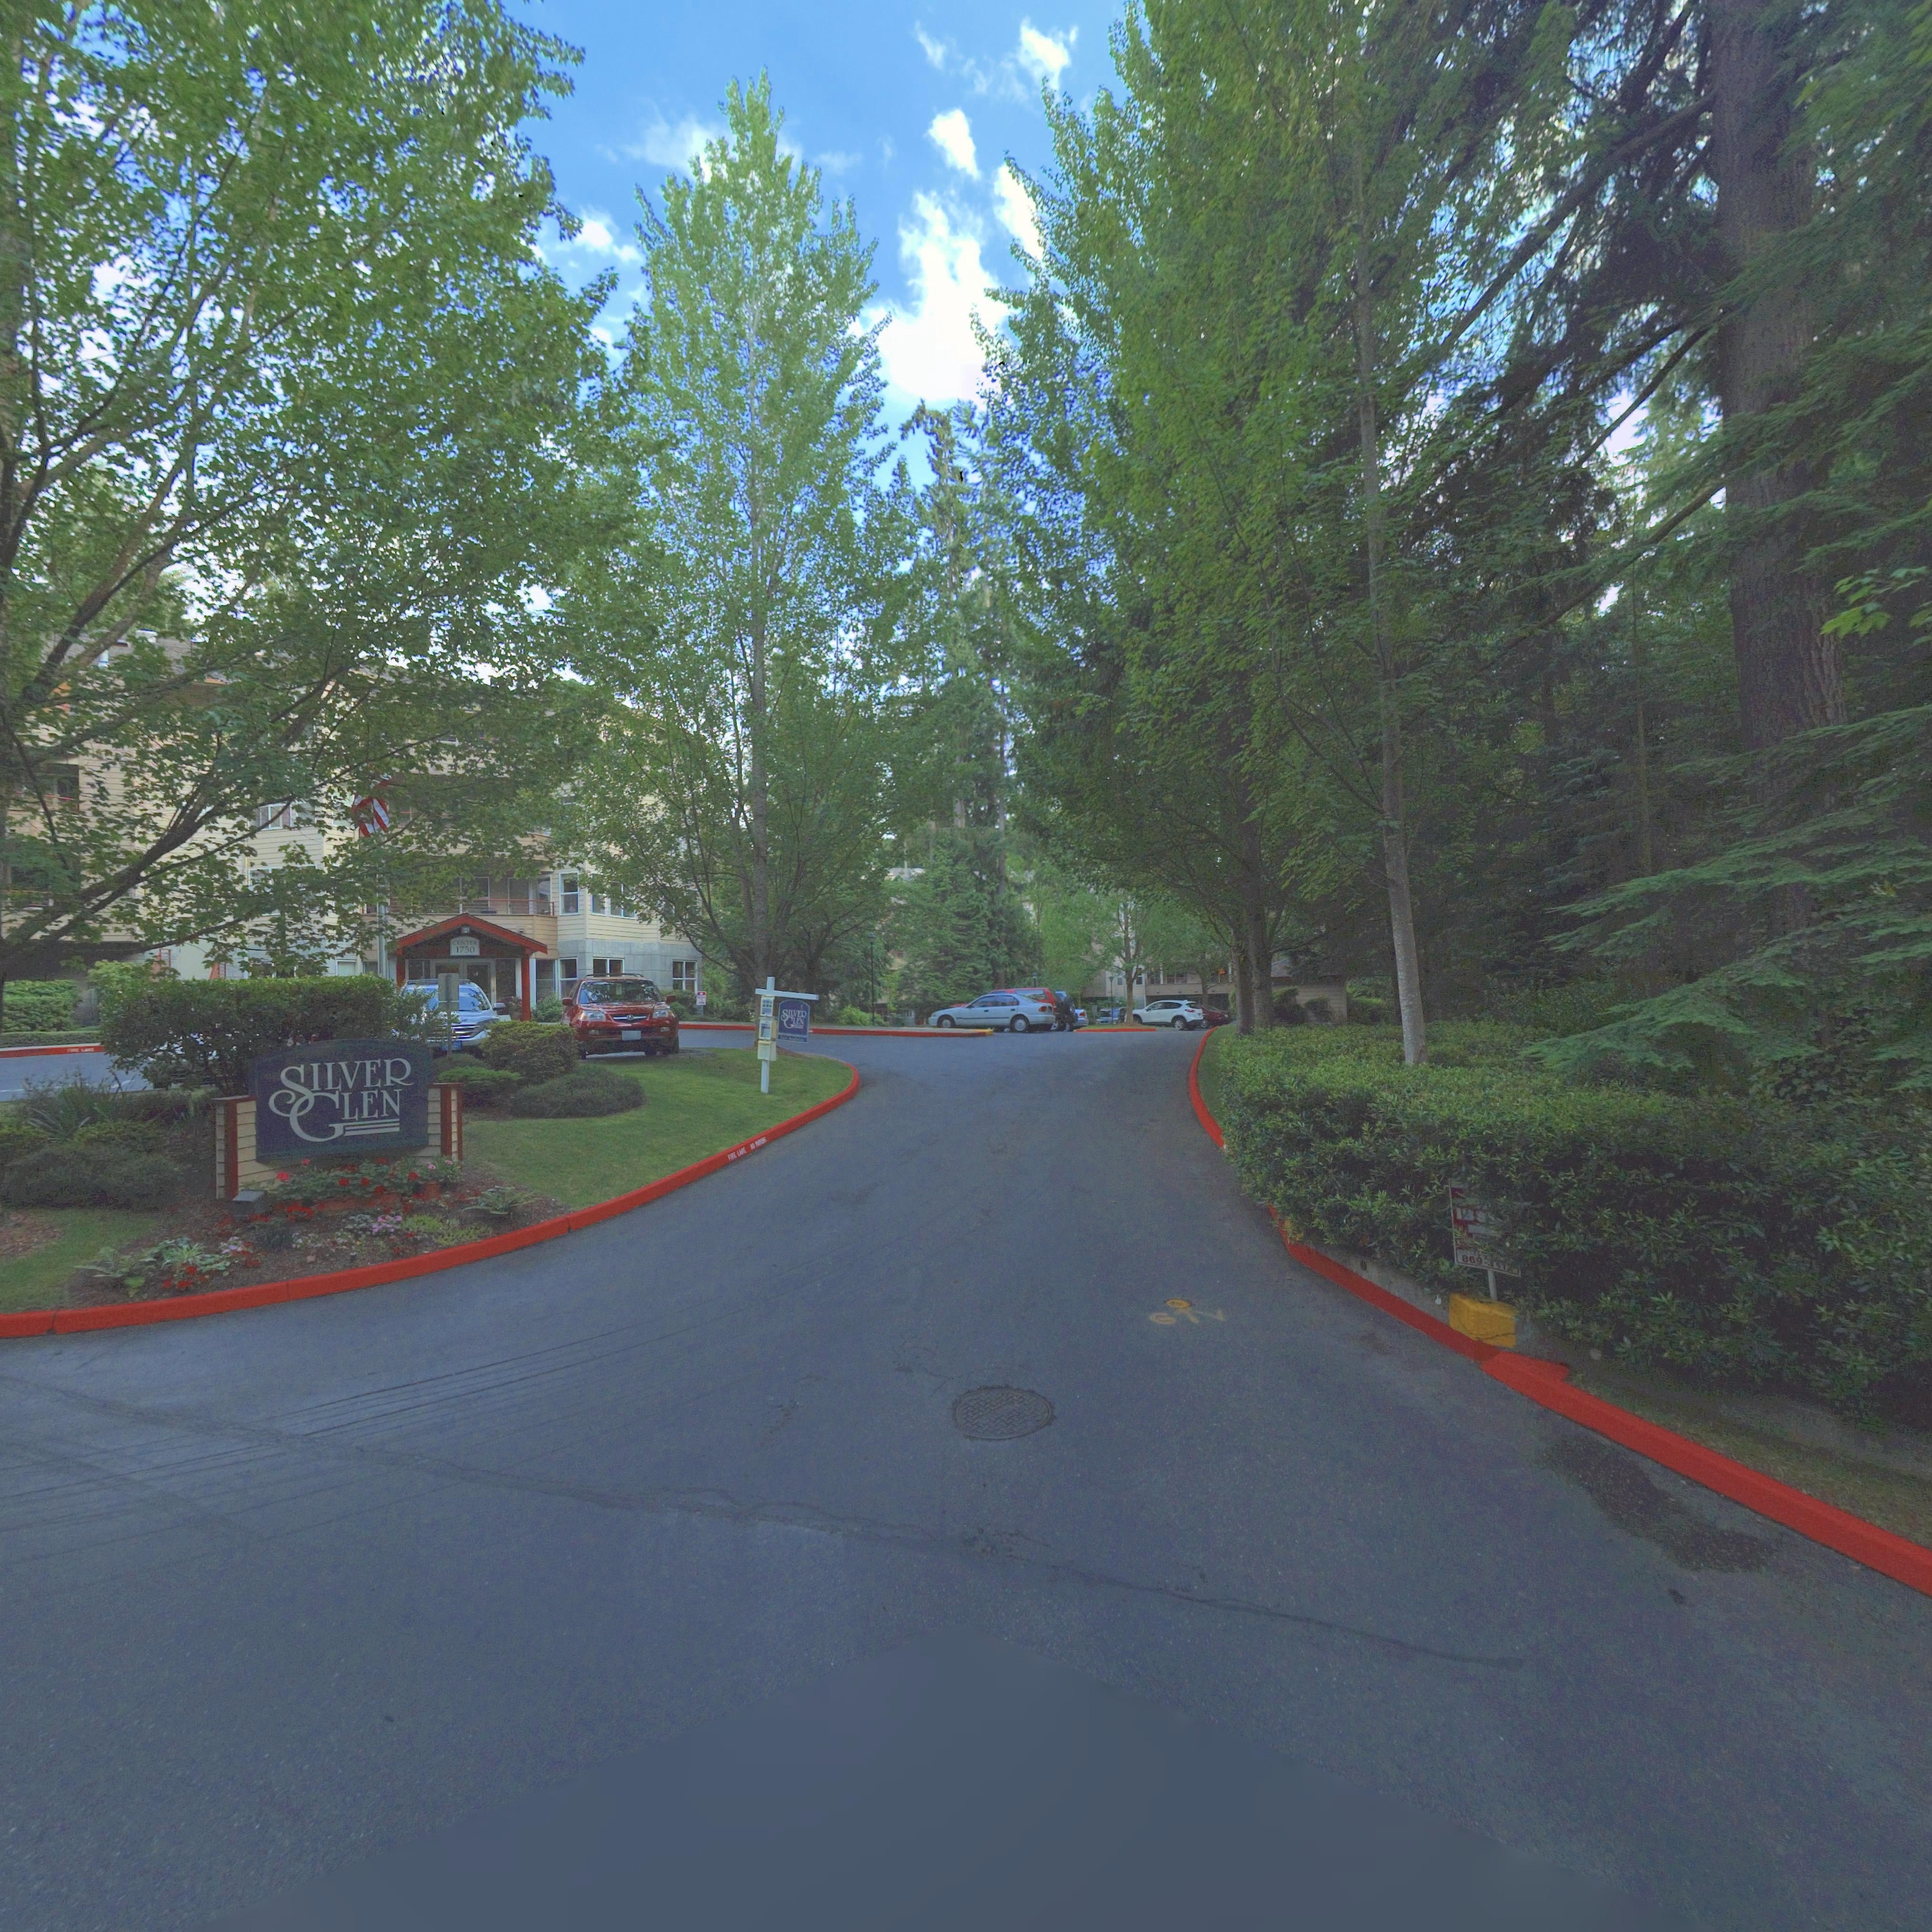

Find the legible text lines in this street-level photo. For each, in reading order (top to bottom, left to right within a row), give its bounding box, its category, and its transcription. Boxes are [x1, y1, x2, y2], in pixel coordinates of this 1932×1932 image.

[452, 939, 477, 946] SecondaryUnitDesignator: CENTER
[455, 945, 474, 953] StreetNumber: 1750
[779, 1008, 807, 1023] BusinessName: SILVER
[783, 1015, 804, 1029] BusinessName: GLEN
[263, 1056, 417, 1126] BusinessName: SILVER
[282, 1085, 403, 1143] BusinessName: GLEN